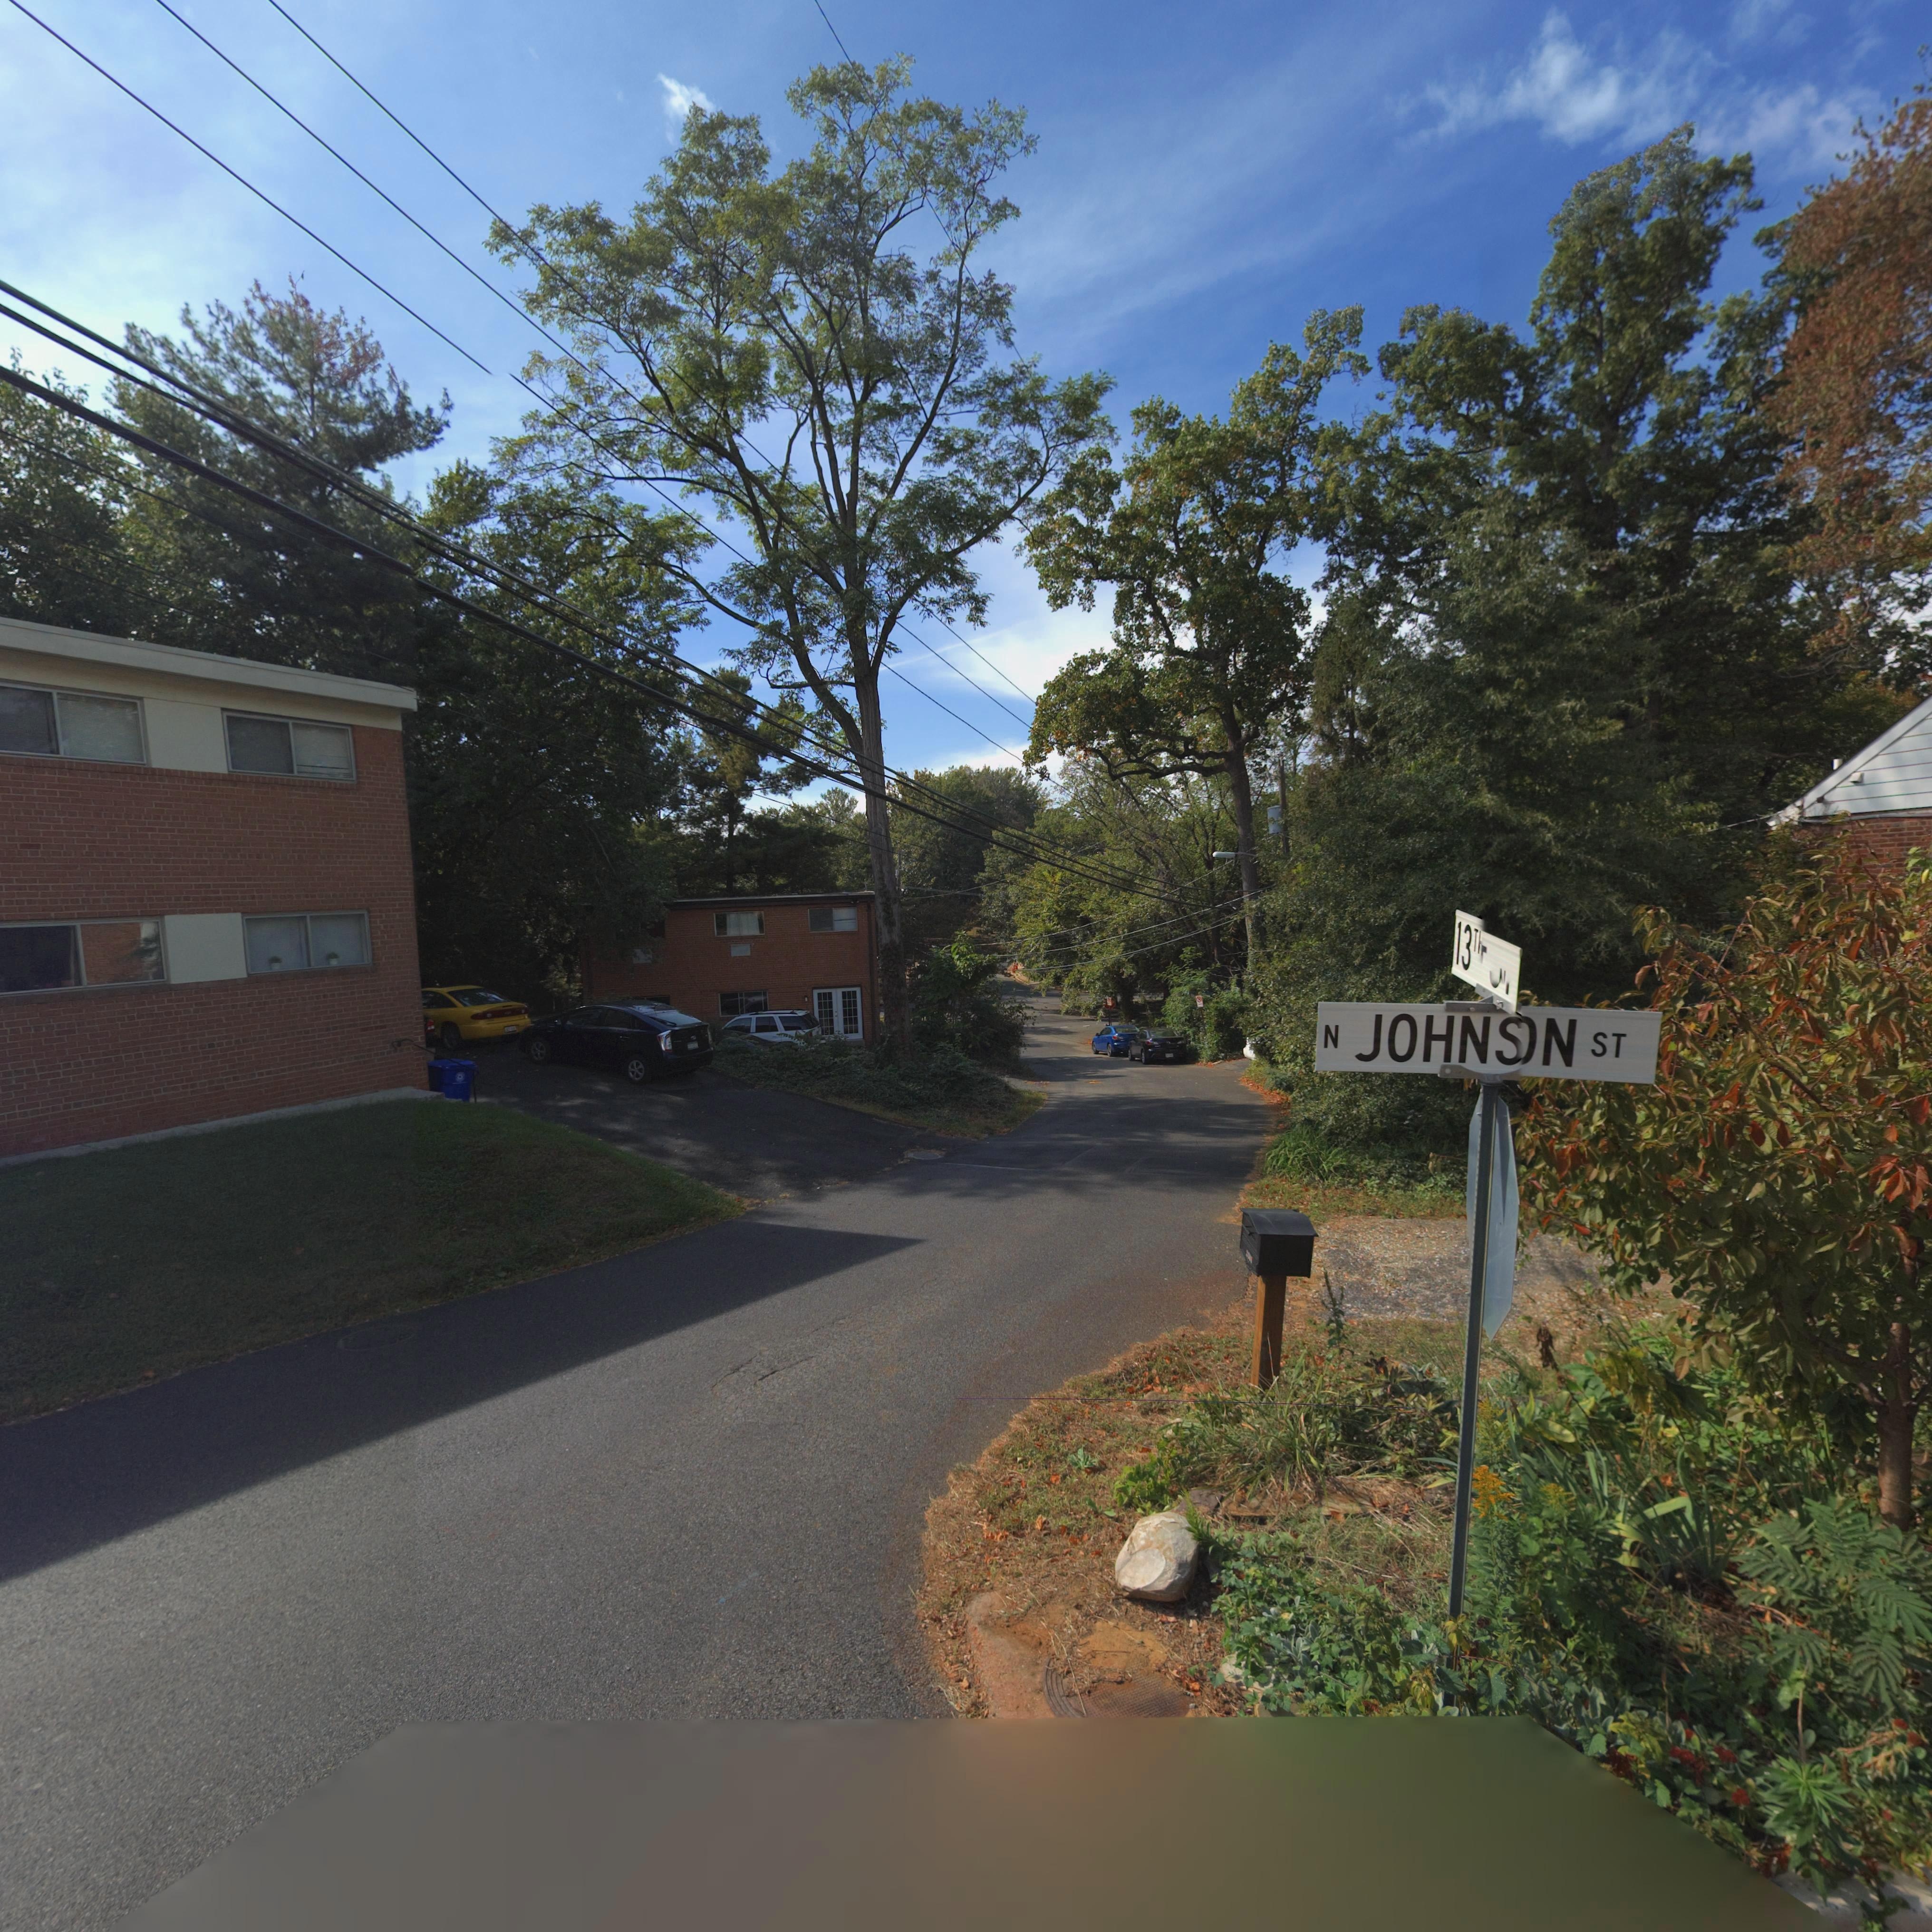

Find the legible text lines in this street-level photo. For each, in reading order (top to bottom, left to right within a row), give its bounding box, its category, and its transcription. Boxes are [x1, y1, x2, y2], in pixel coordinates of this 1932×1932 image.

[1454, 918, 1480, 974] StreetName: 13T
[1322, 1012, 1629, 1070] StreetName: N JOHN**N ST